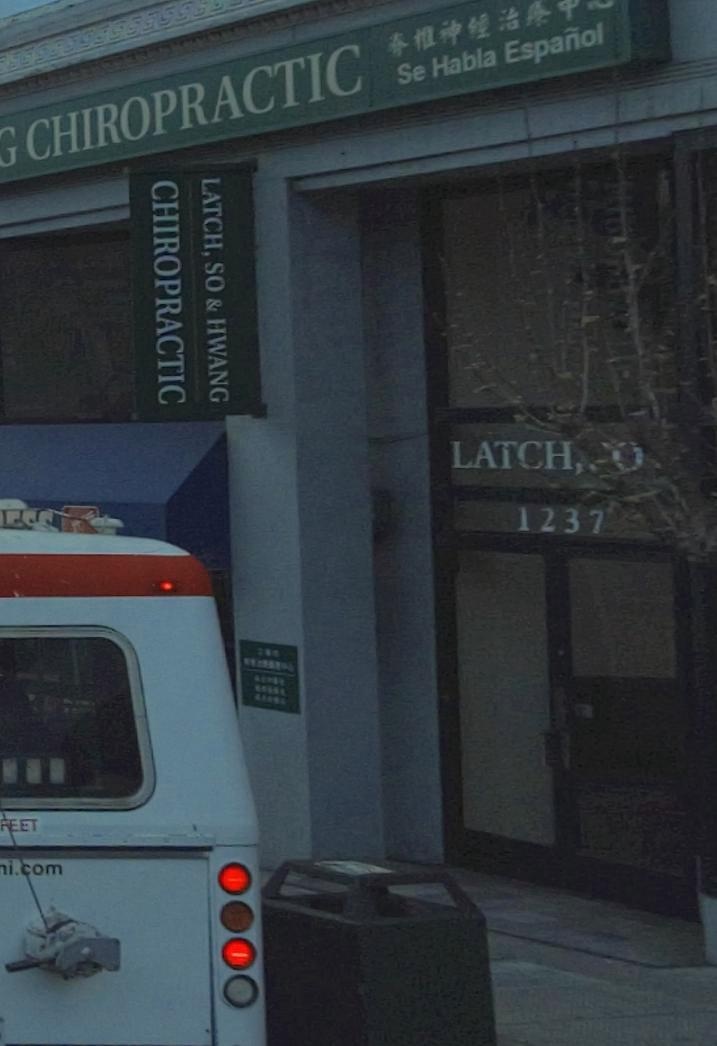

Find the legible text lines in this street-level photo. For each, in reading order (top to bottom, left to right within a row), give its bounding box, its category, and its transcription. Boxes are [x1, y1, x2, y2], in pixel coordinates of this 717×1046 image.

[394, 16, 607, 90] None: Se Habla Espanol
[22, 38, 367, 166] BusinessName: CHIROPRACTIC
[145, 175, 190, 409] BusinessName: CHIROPRACTIC
[194, 171, 235, 407] BusinessName: LATCH, SO & HWANG
[446, 438, 579, 473] BusinessName: LATCH
[514, 504, 607, 536] StreetNumber: 1237
[6, 816, 40, 835] None: EET
[4, 857, 65, 878] None: i.com